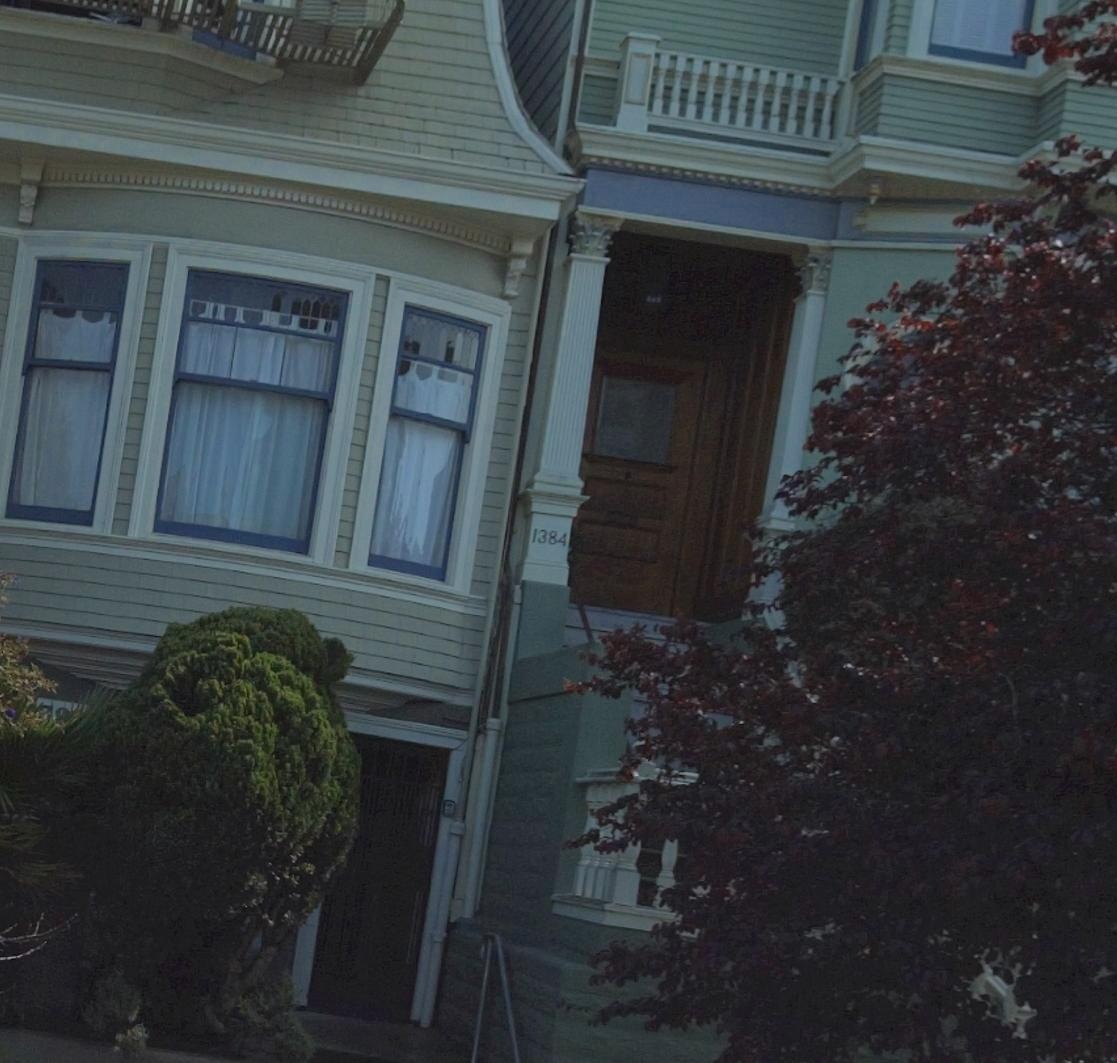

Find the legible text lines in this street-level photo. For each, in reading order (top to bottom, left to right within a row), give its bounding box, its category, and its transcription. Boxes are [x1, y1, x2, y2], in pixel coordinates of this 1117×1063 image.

[528, 524, 572, 550] StreetNumber: 1384